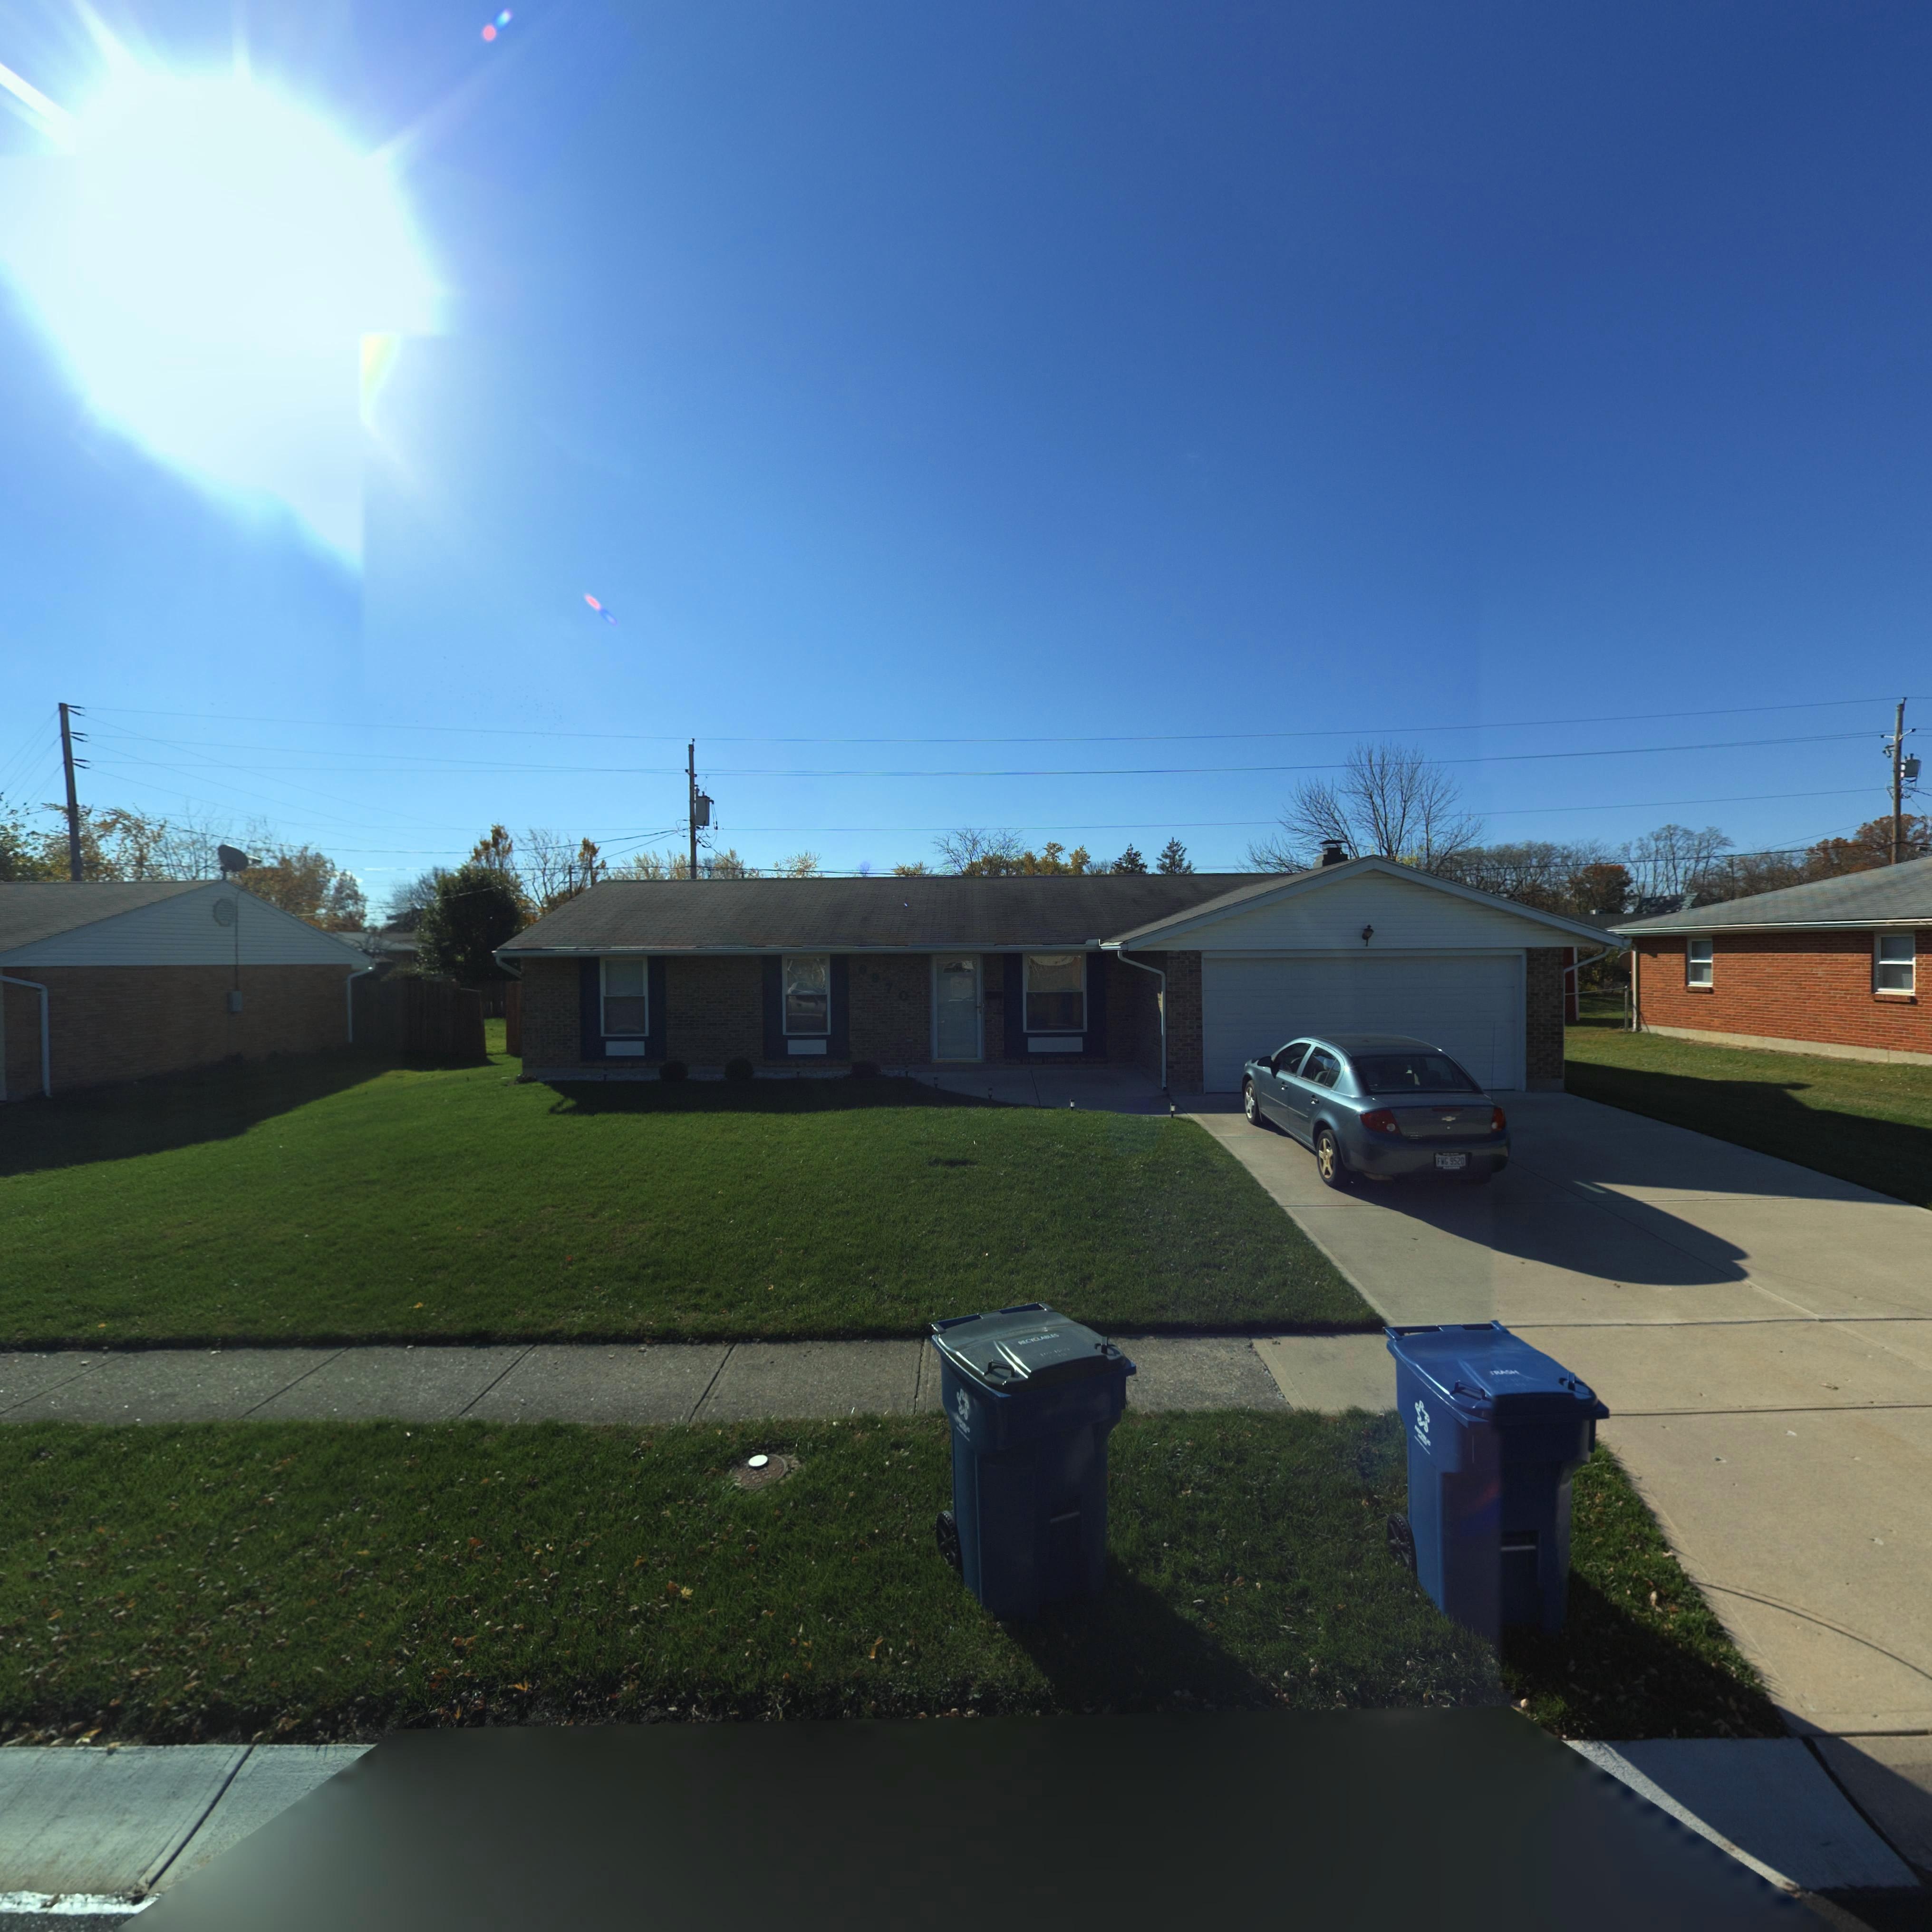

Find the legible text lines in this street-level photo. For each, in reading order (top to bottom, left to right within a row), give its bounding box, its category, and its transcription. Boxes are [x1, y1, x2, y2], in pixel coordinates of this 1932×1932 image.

[858, 962, 909, 1003] StreetNumber: 6970